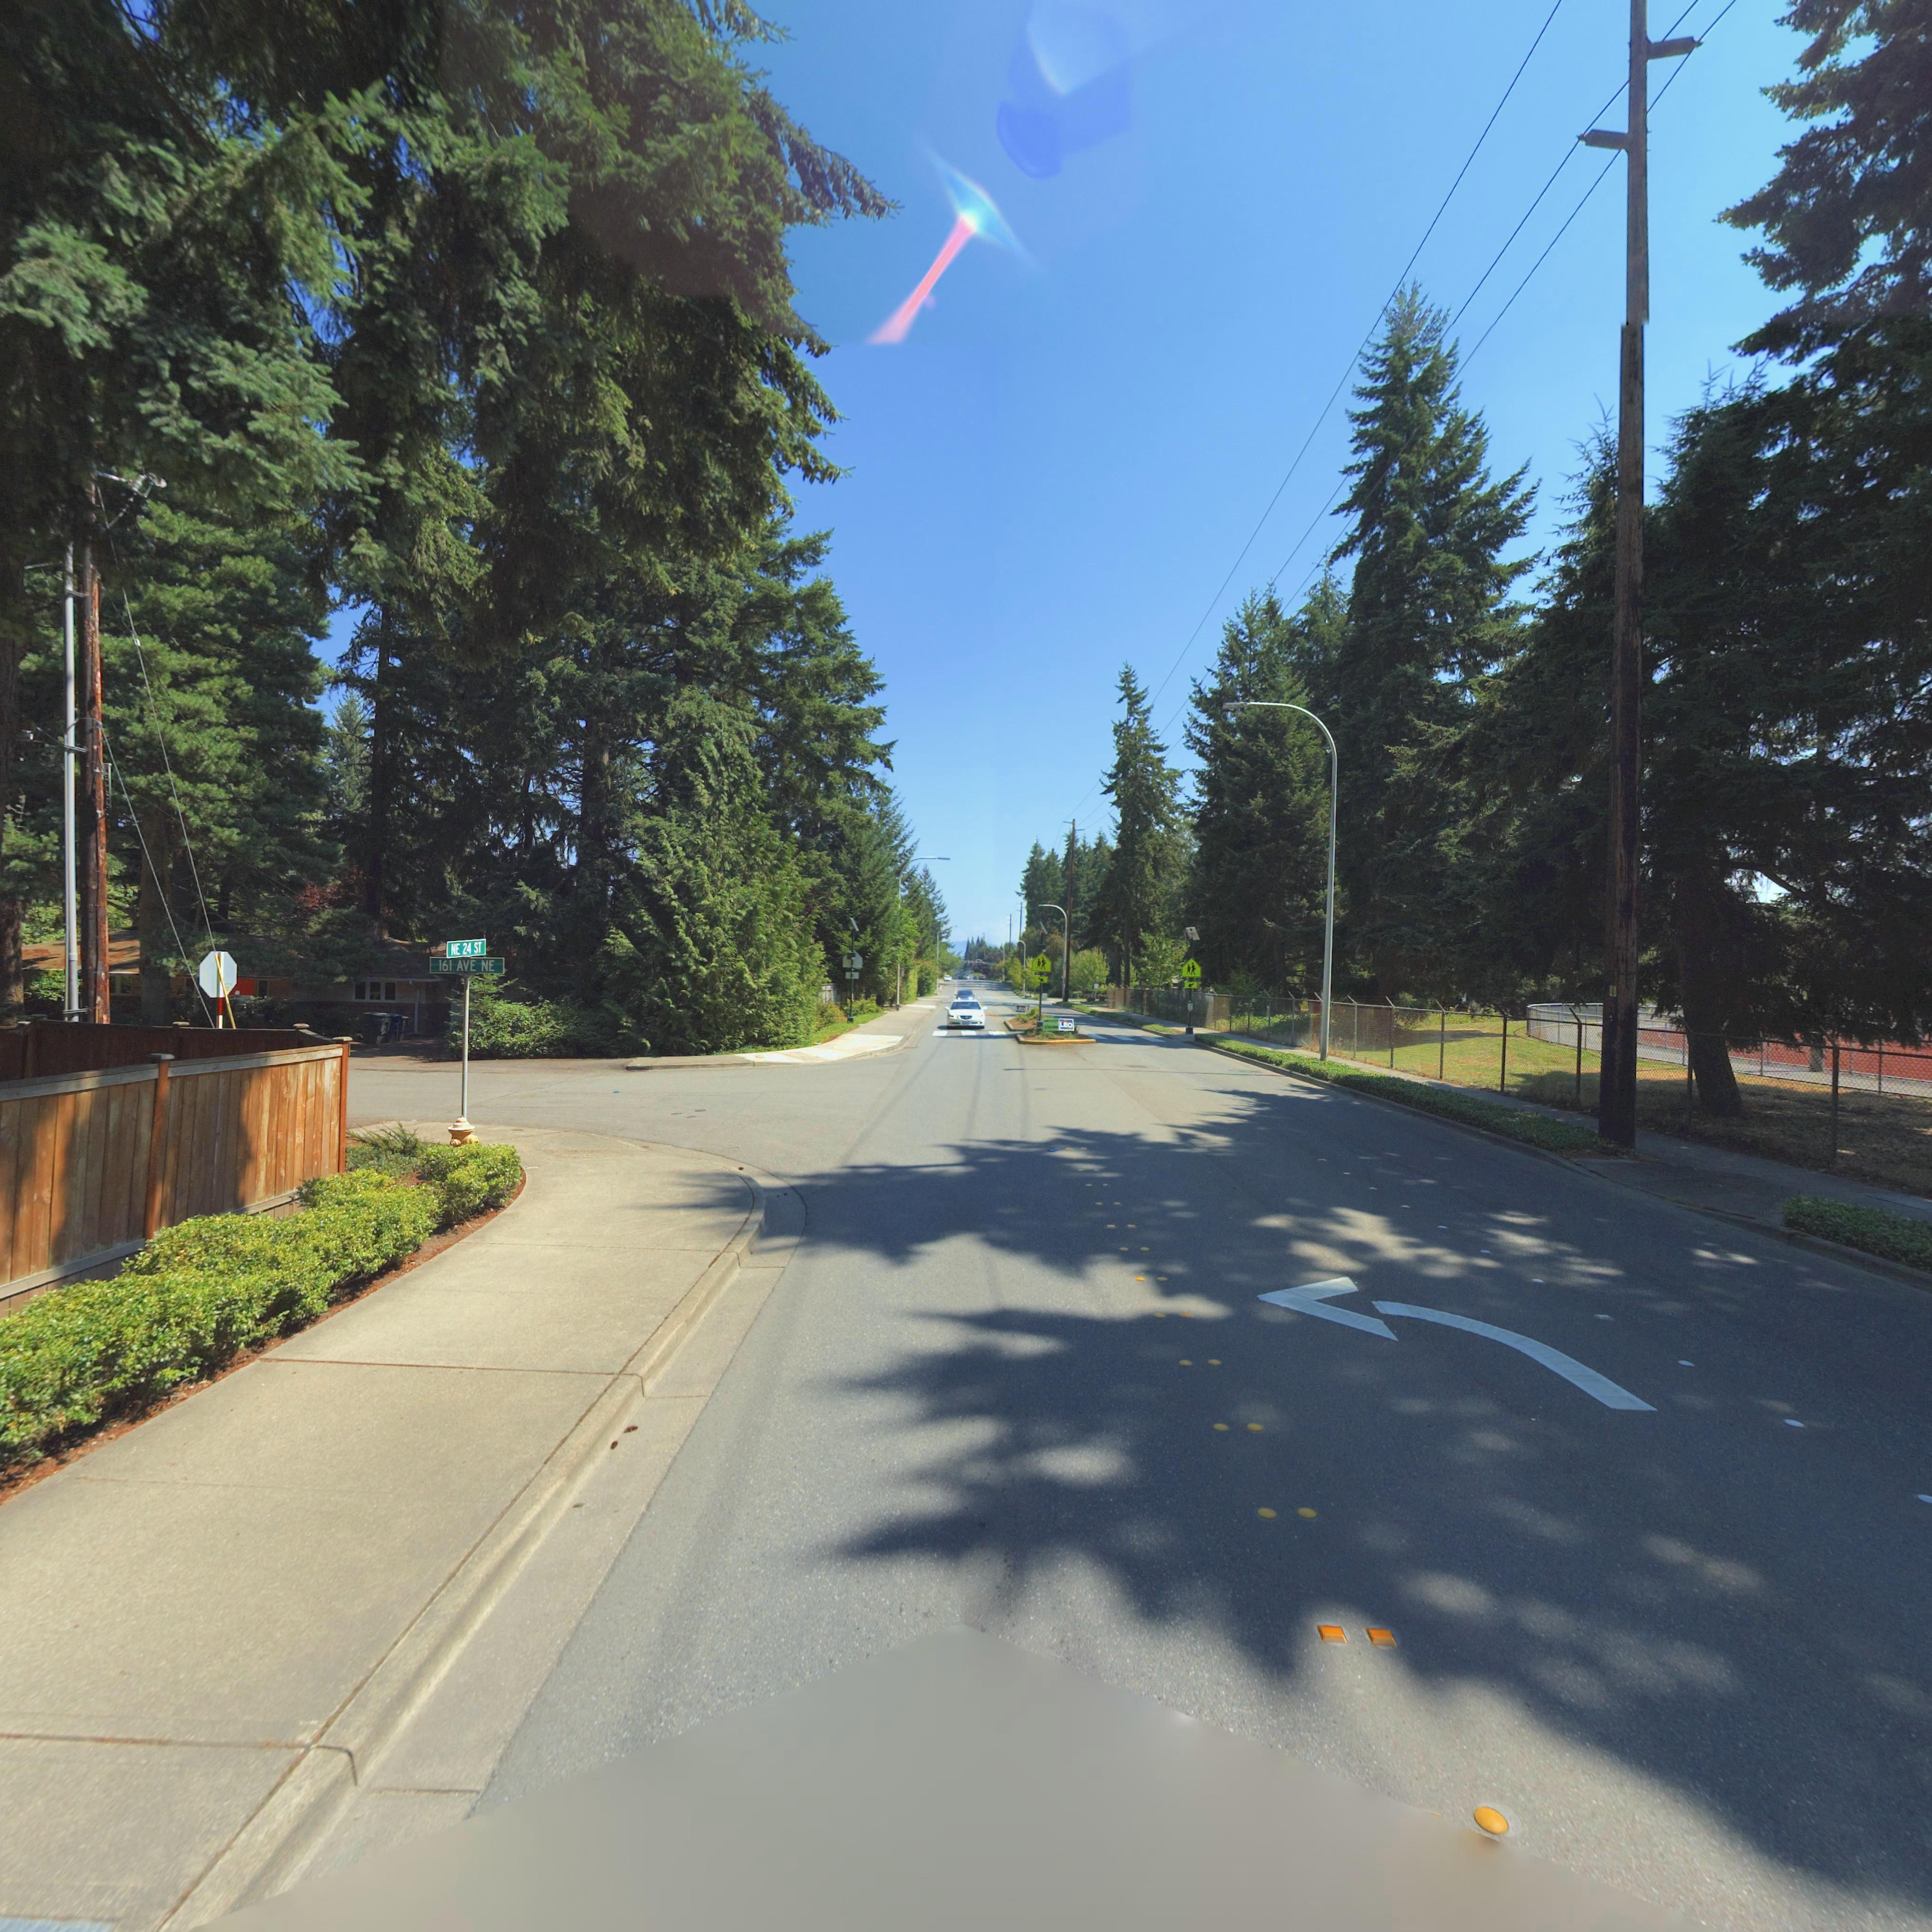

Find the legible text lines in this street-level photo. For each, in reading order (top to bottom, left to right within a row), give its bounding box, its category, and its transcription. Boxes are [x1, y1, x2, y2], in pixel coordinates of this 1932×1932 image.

[451, 941, 483, 956] StreetName: NE 24 ST
[438, 958, 495, 972] StreetName: 161 AVE NE